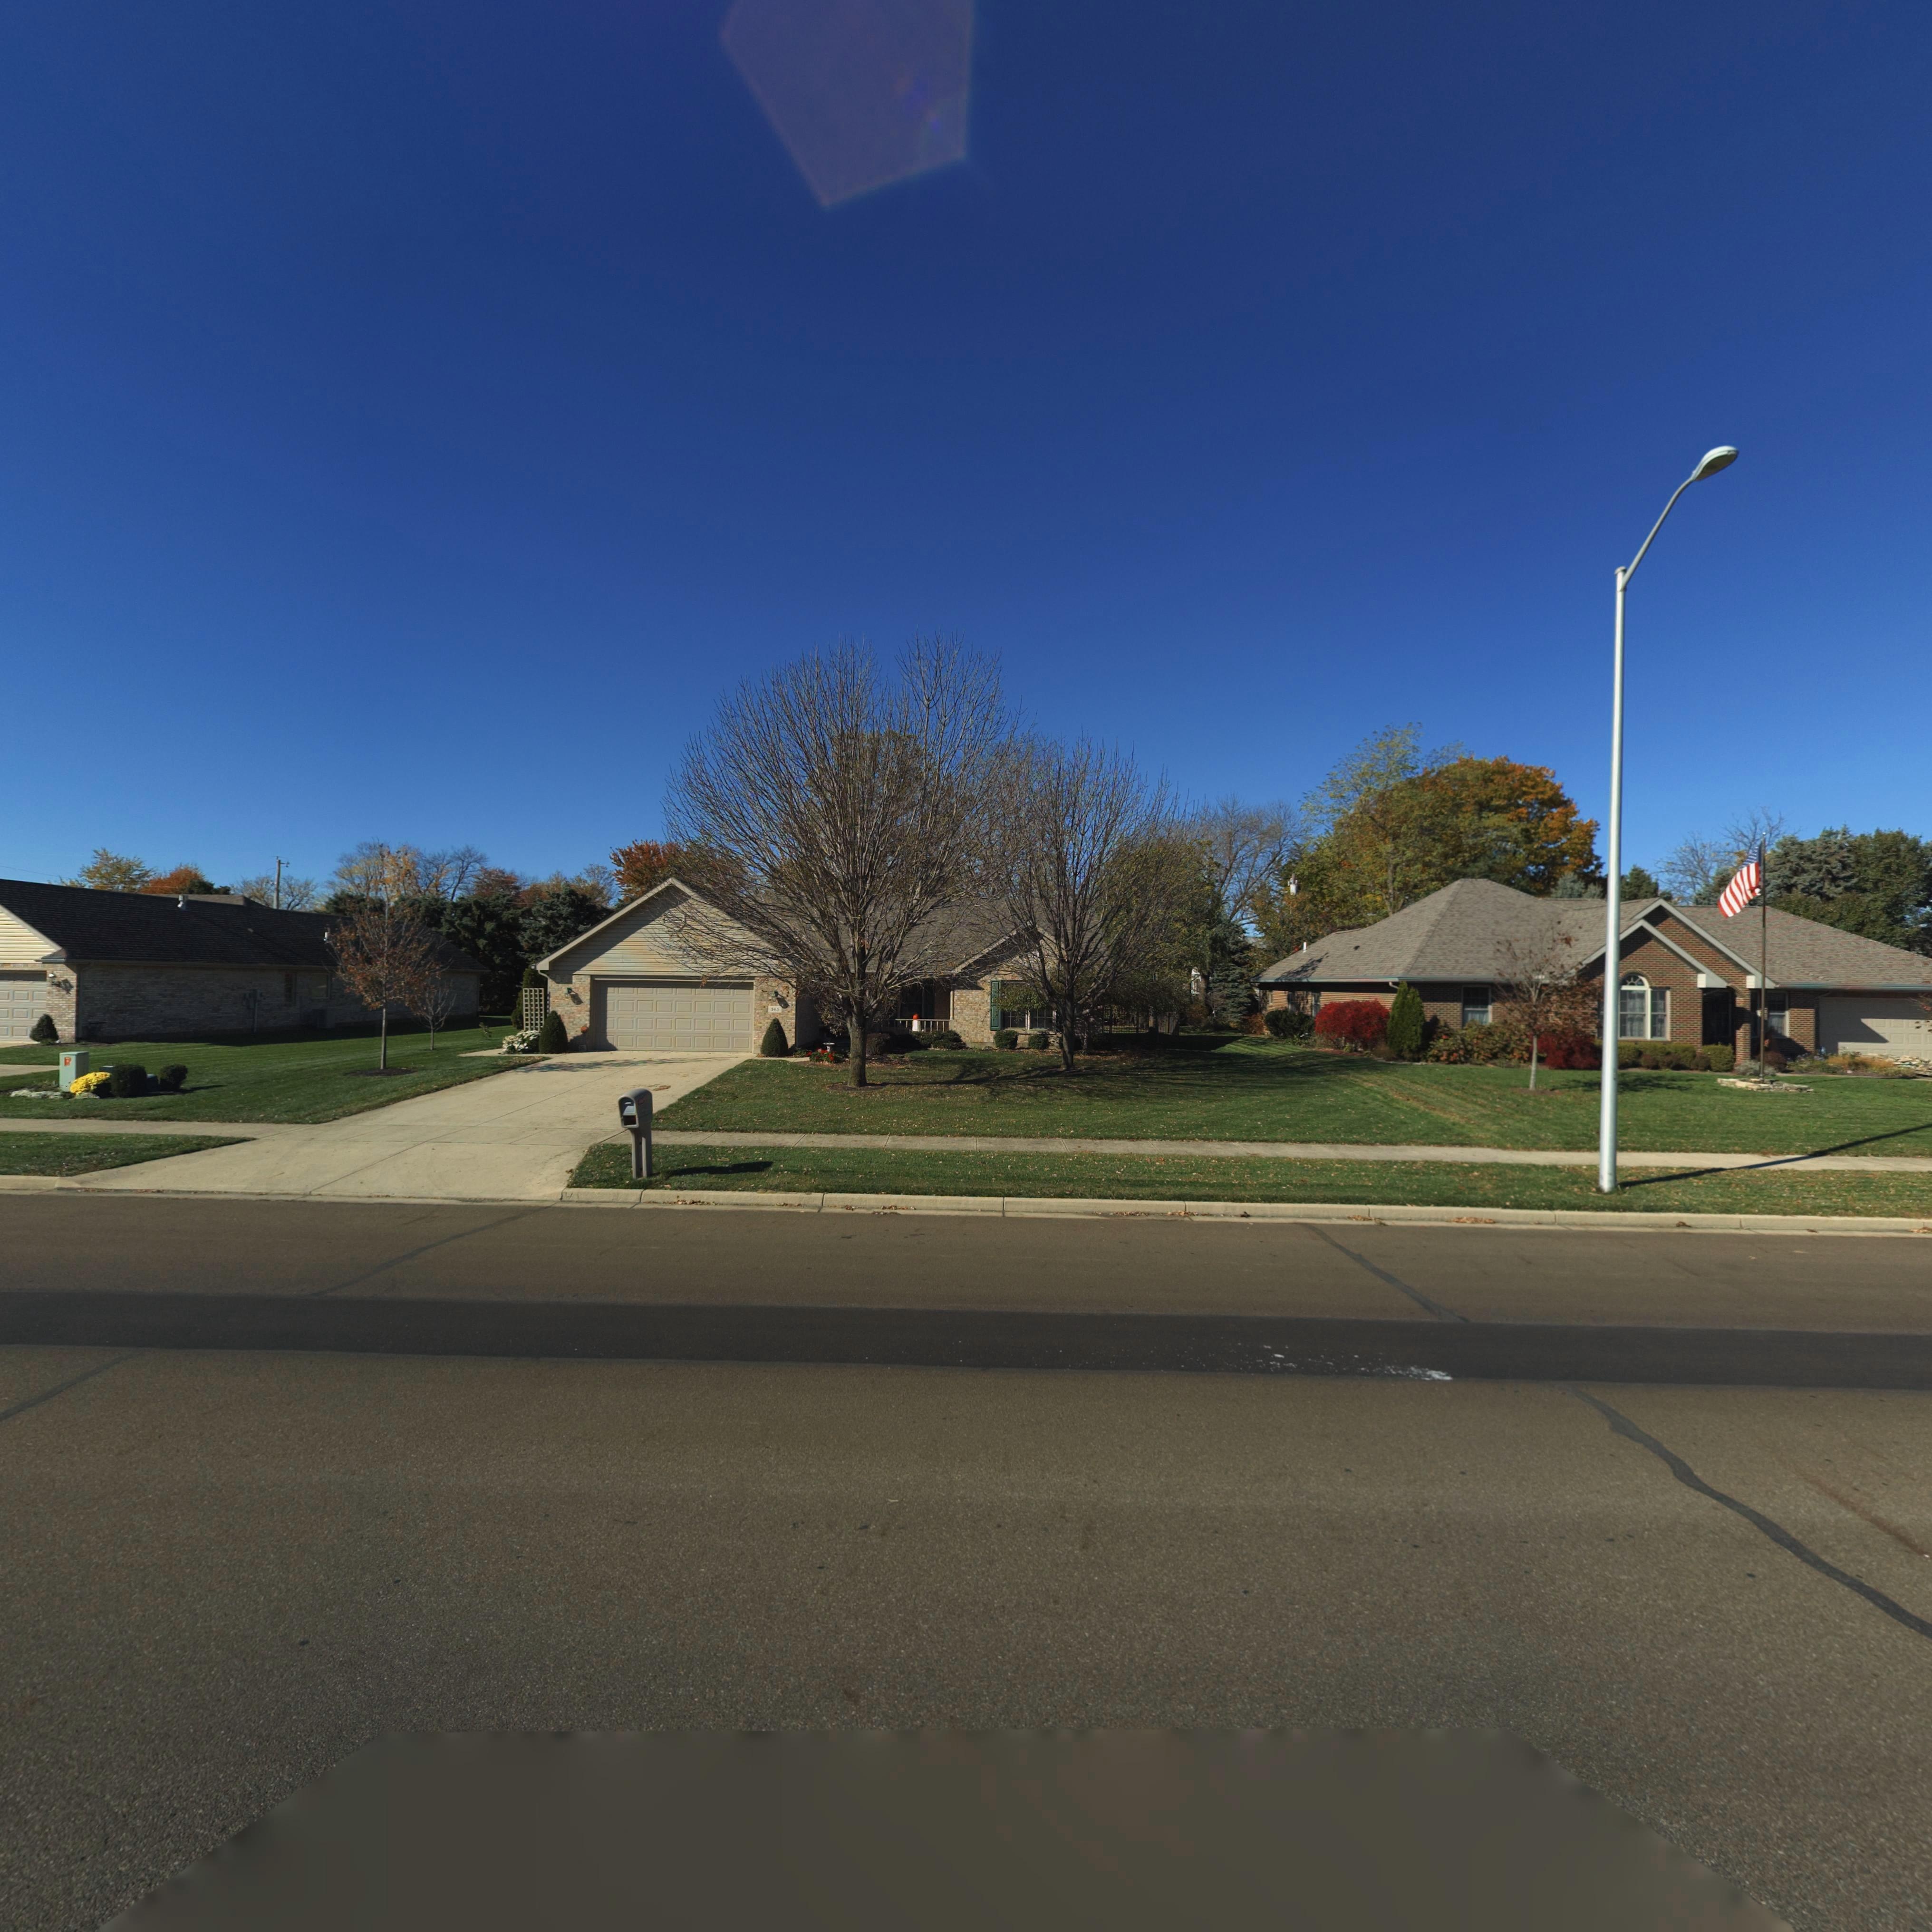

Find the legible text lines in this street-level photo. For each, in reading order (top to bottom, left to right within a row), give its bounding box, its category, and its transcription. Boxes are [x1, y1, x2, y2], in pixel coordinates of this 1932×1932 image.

[770, 1007, 780, 1011] StreetNumber: 365